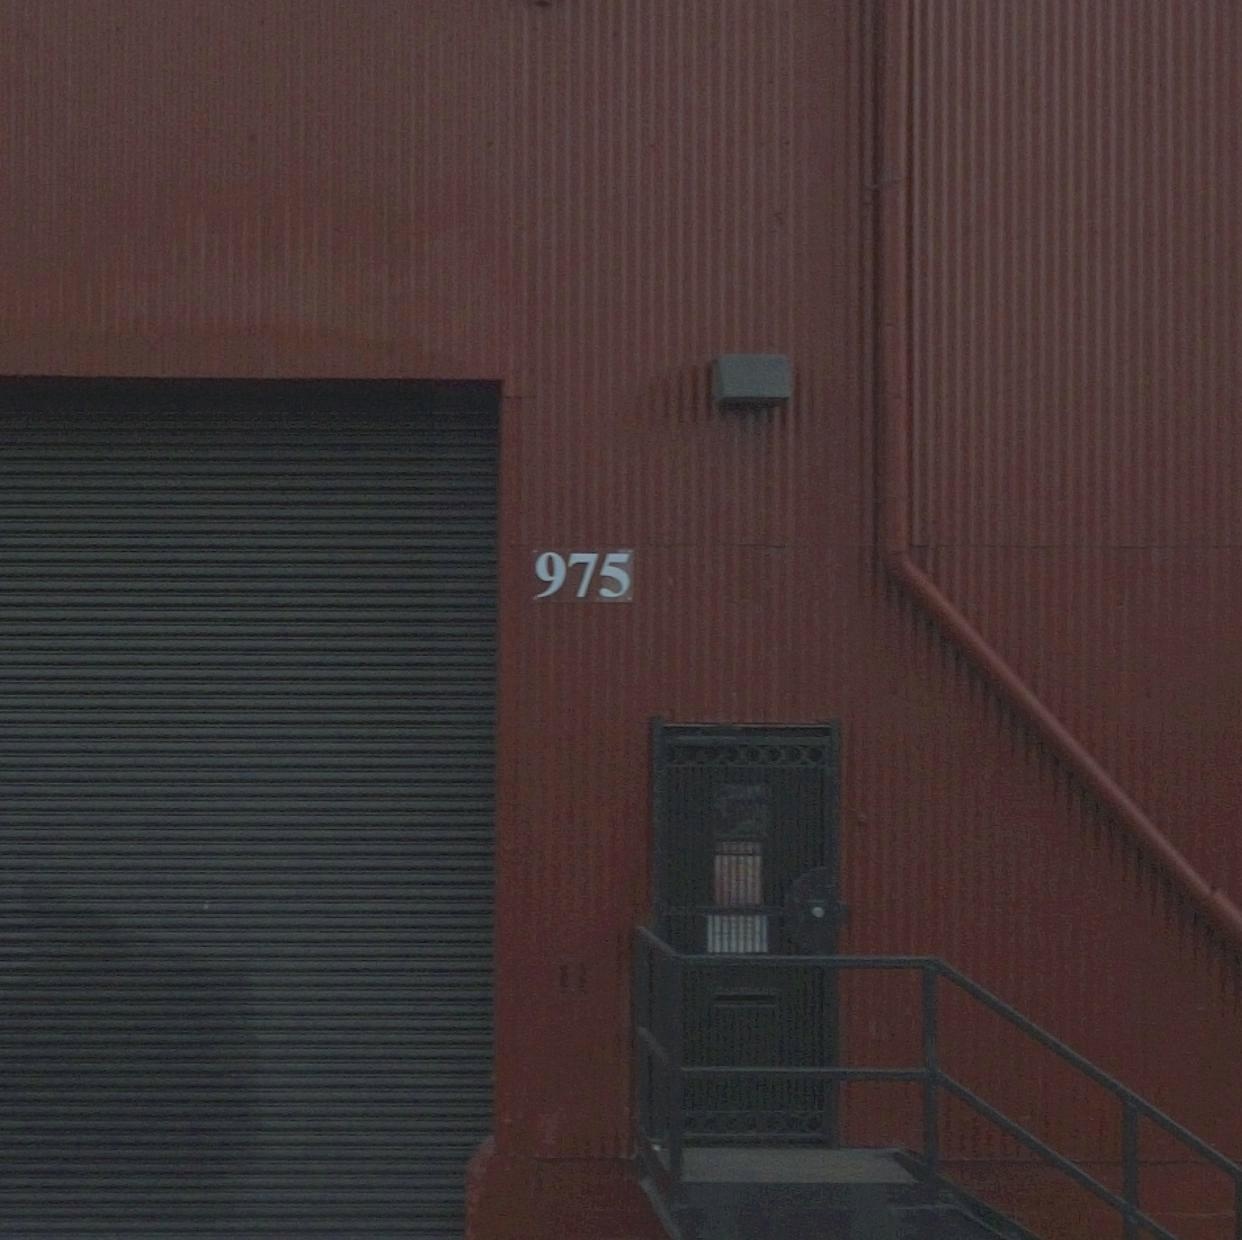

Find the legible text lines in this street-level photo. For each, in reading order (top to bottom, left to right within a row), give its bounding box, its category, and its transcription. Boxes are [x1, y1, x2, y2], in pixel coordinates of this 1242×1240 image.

[533, 551, 631, 600] StreetNumber: 975